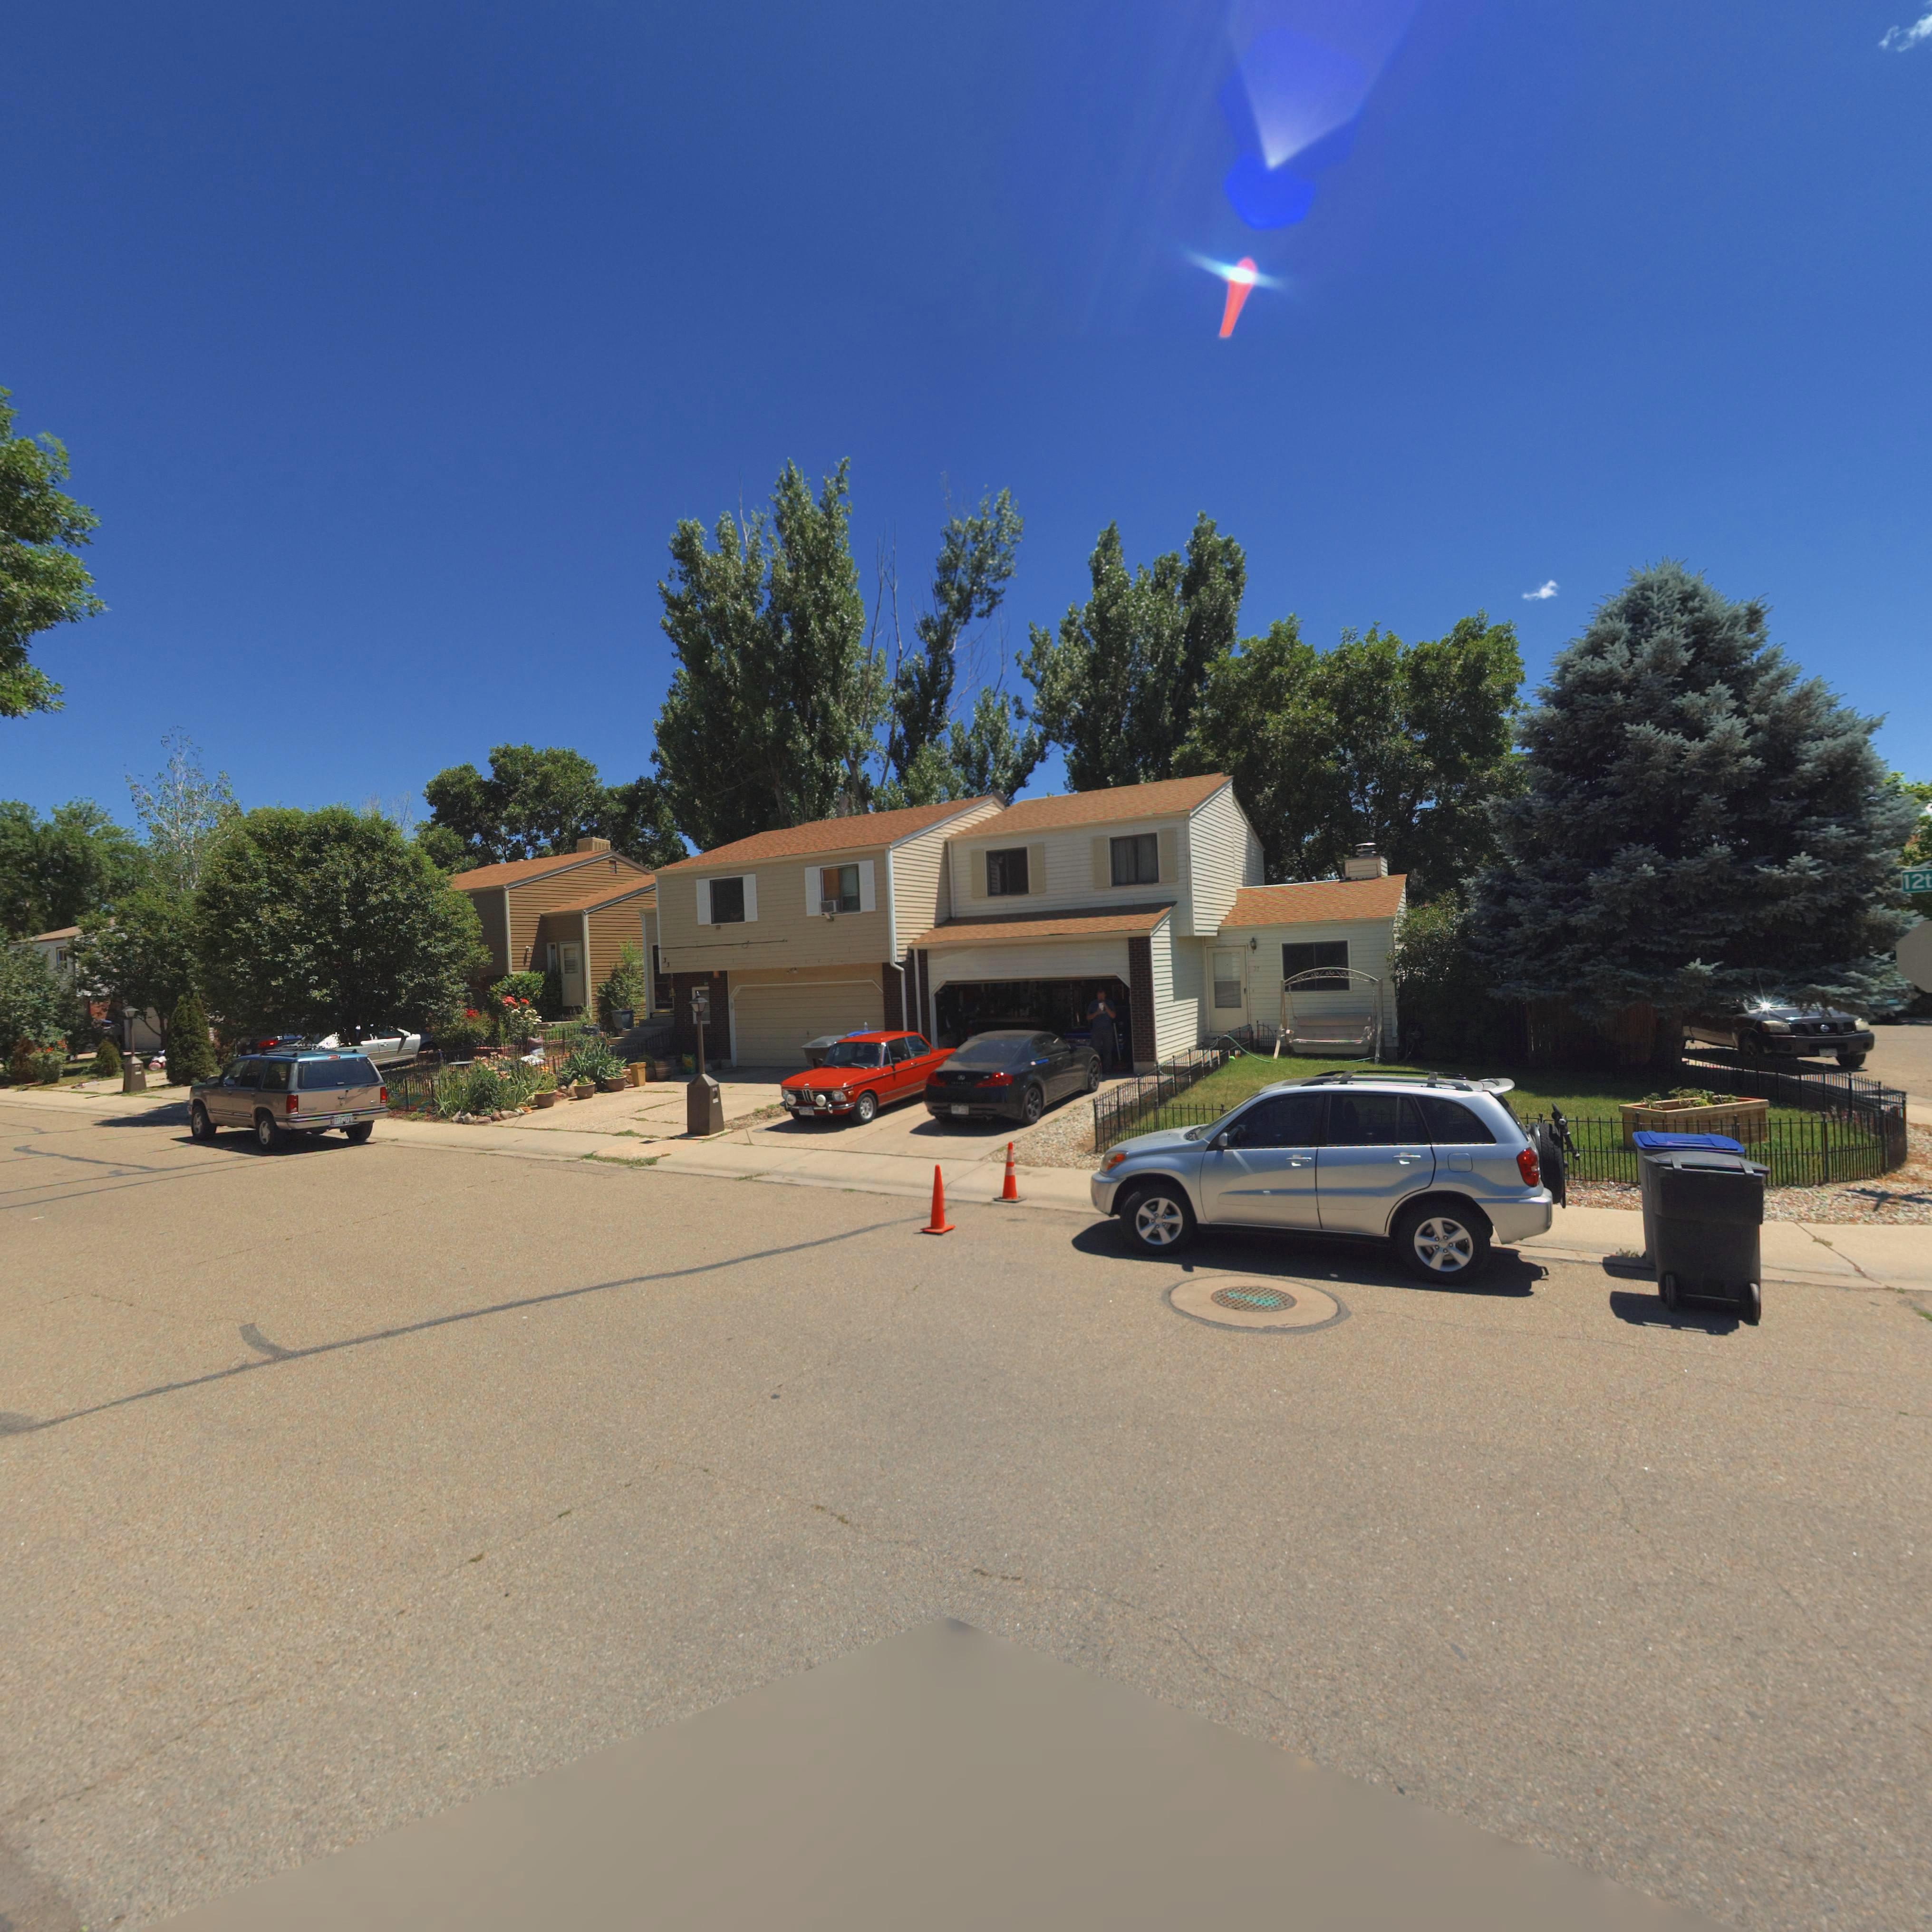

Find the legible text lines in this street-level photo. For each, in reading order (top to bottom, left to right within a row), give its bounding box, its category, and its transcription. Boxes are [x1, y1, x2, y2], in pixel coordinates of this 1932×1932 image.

[1903, 873, 1932, 889] StreetName: 12t
[663, 957, 670, 968] StreetNumber: 33
[1253, 966, 1259, 972] StreetNumber: 37